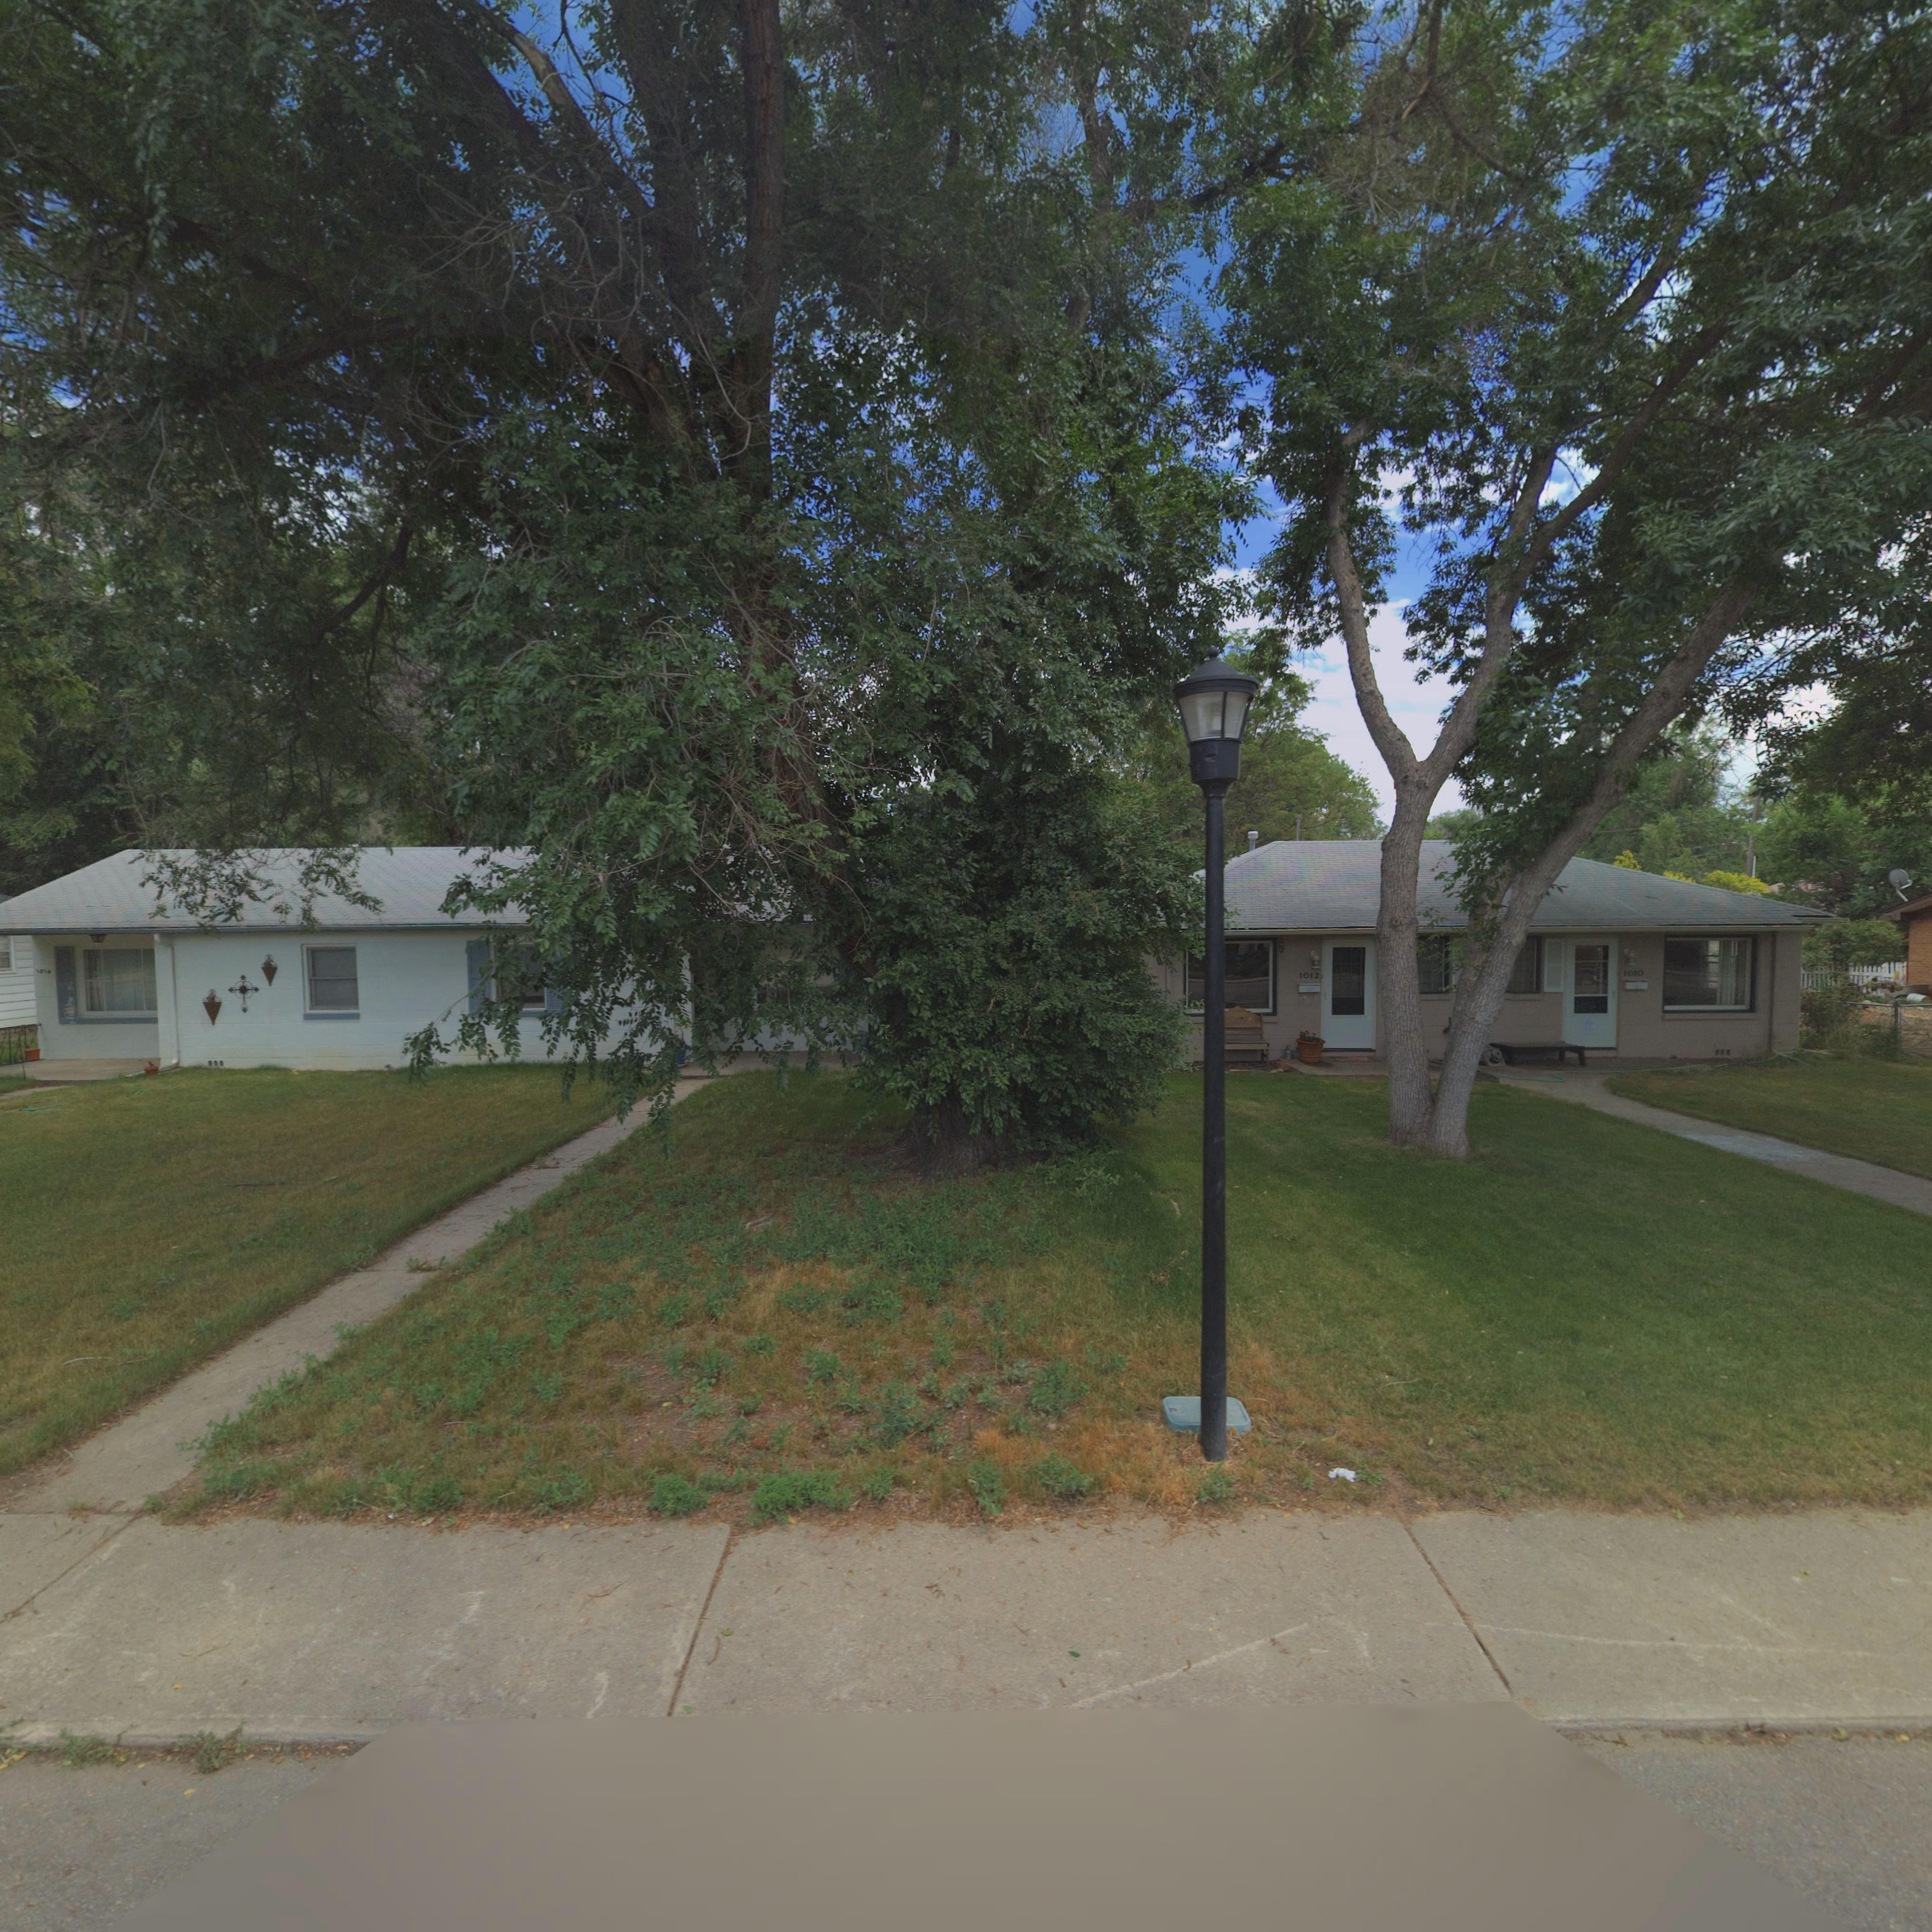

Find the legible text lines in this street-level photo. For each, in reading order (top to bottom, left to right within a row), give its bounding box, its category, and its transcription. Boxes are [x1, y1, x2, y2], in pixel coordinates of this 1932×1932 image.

[35, 968, 51, 974] StreetNumber: 101*
[1299, 972, 1319, 978] StreetNumber: 1012
[1623, 969, 1644, 976] StreetNumber: 1010